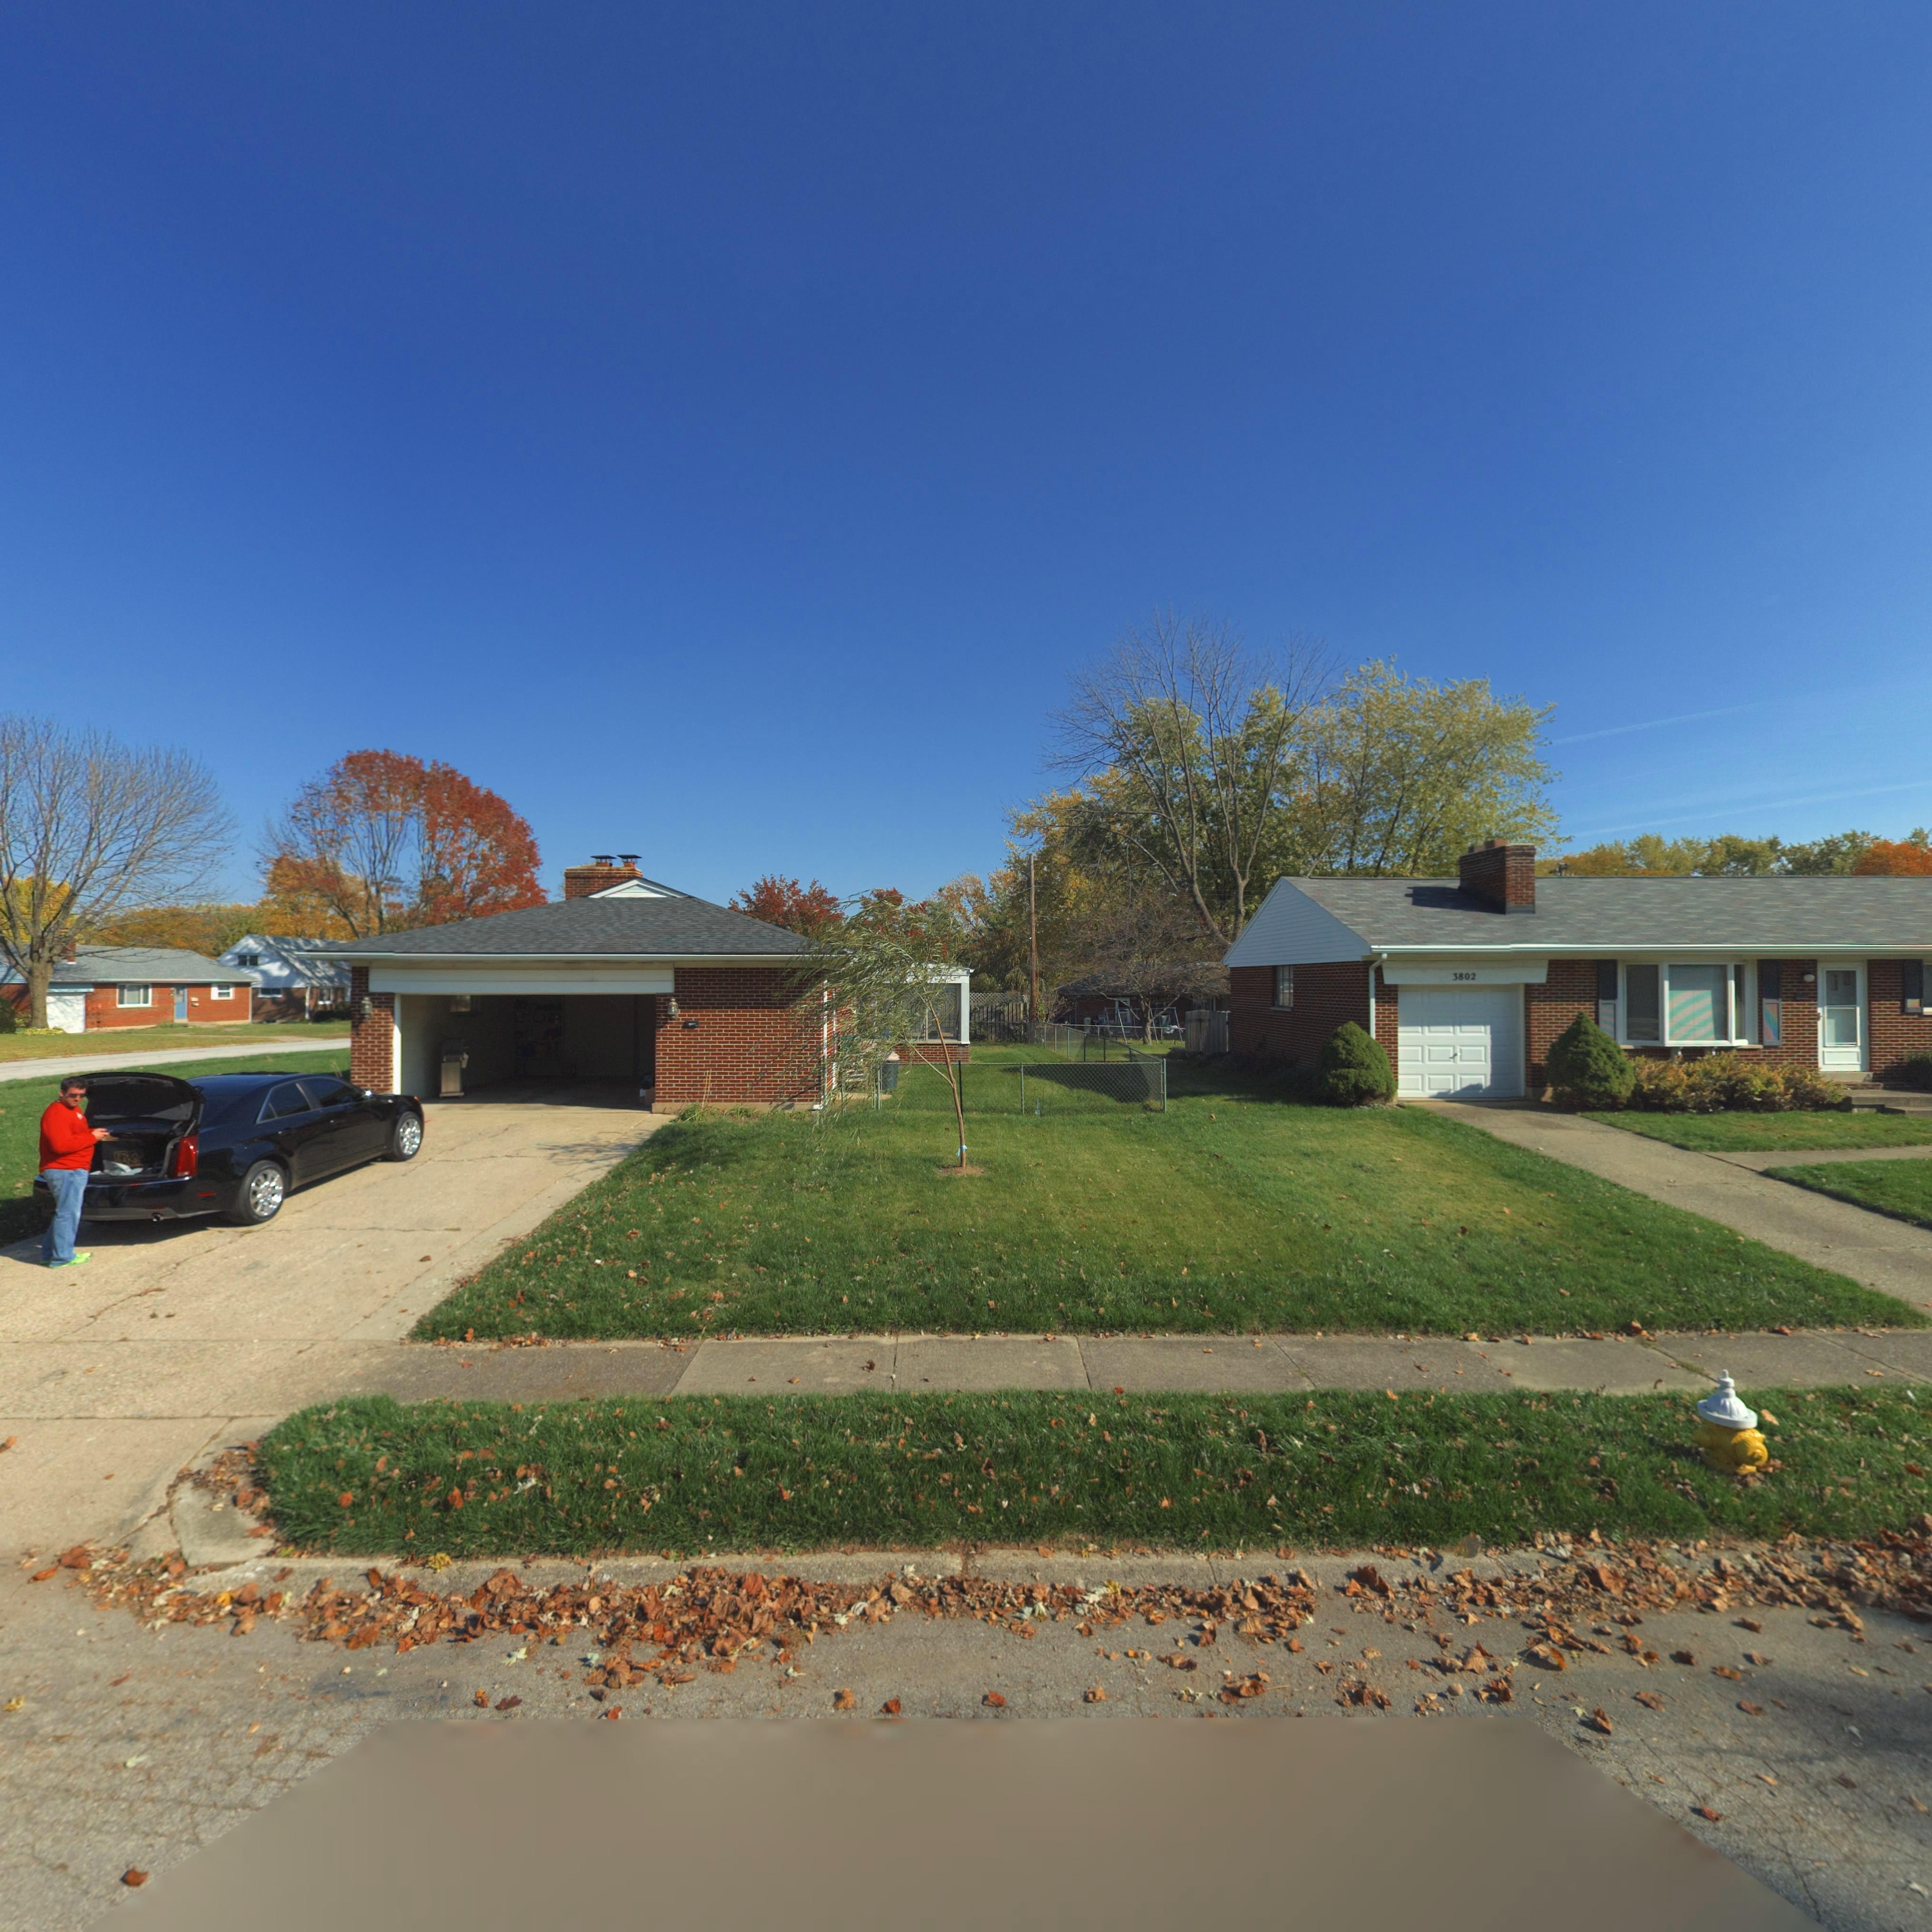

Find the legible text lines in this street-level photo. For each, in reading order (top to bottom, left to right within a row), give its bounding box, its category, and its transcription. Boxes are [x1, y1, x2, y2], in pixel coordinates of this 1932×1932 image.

[1451, 972, 1477, 981] StreetNumber: 3802